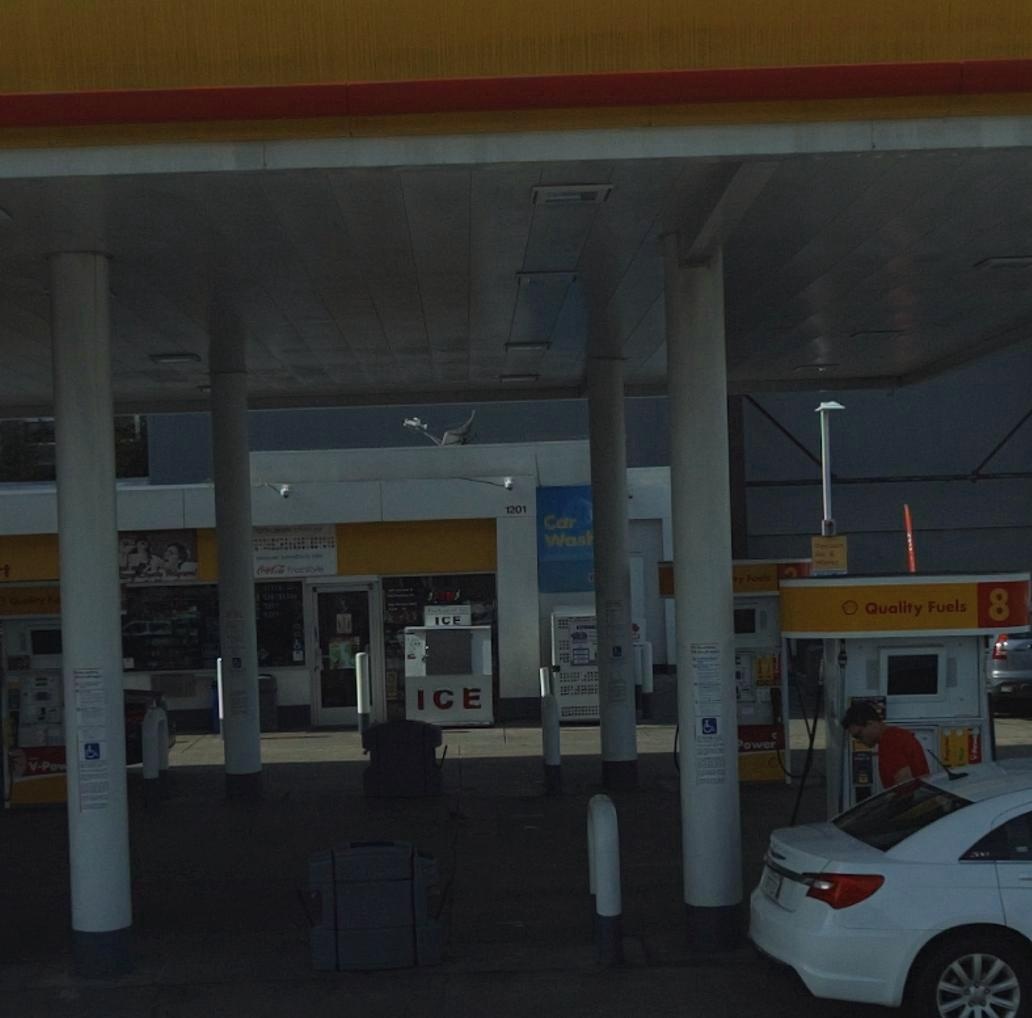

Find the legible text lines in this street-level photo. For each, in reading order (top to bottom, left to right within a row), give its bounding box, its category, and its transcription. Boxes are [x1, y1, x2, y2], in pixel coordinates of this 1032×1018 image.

[503, 503, 529, 515] StreetNumber: 1201
[539, 511, 580, 532] None: Car
[540, 530, 589, 550] None: Was
[862, 594, 970, 622] None: Quality Fuels
[985, 581, 1015, 627] None: 8
[433, 614, 464, 627] None: ICE
[743, 739, 777, 752] None: ower